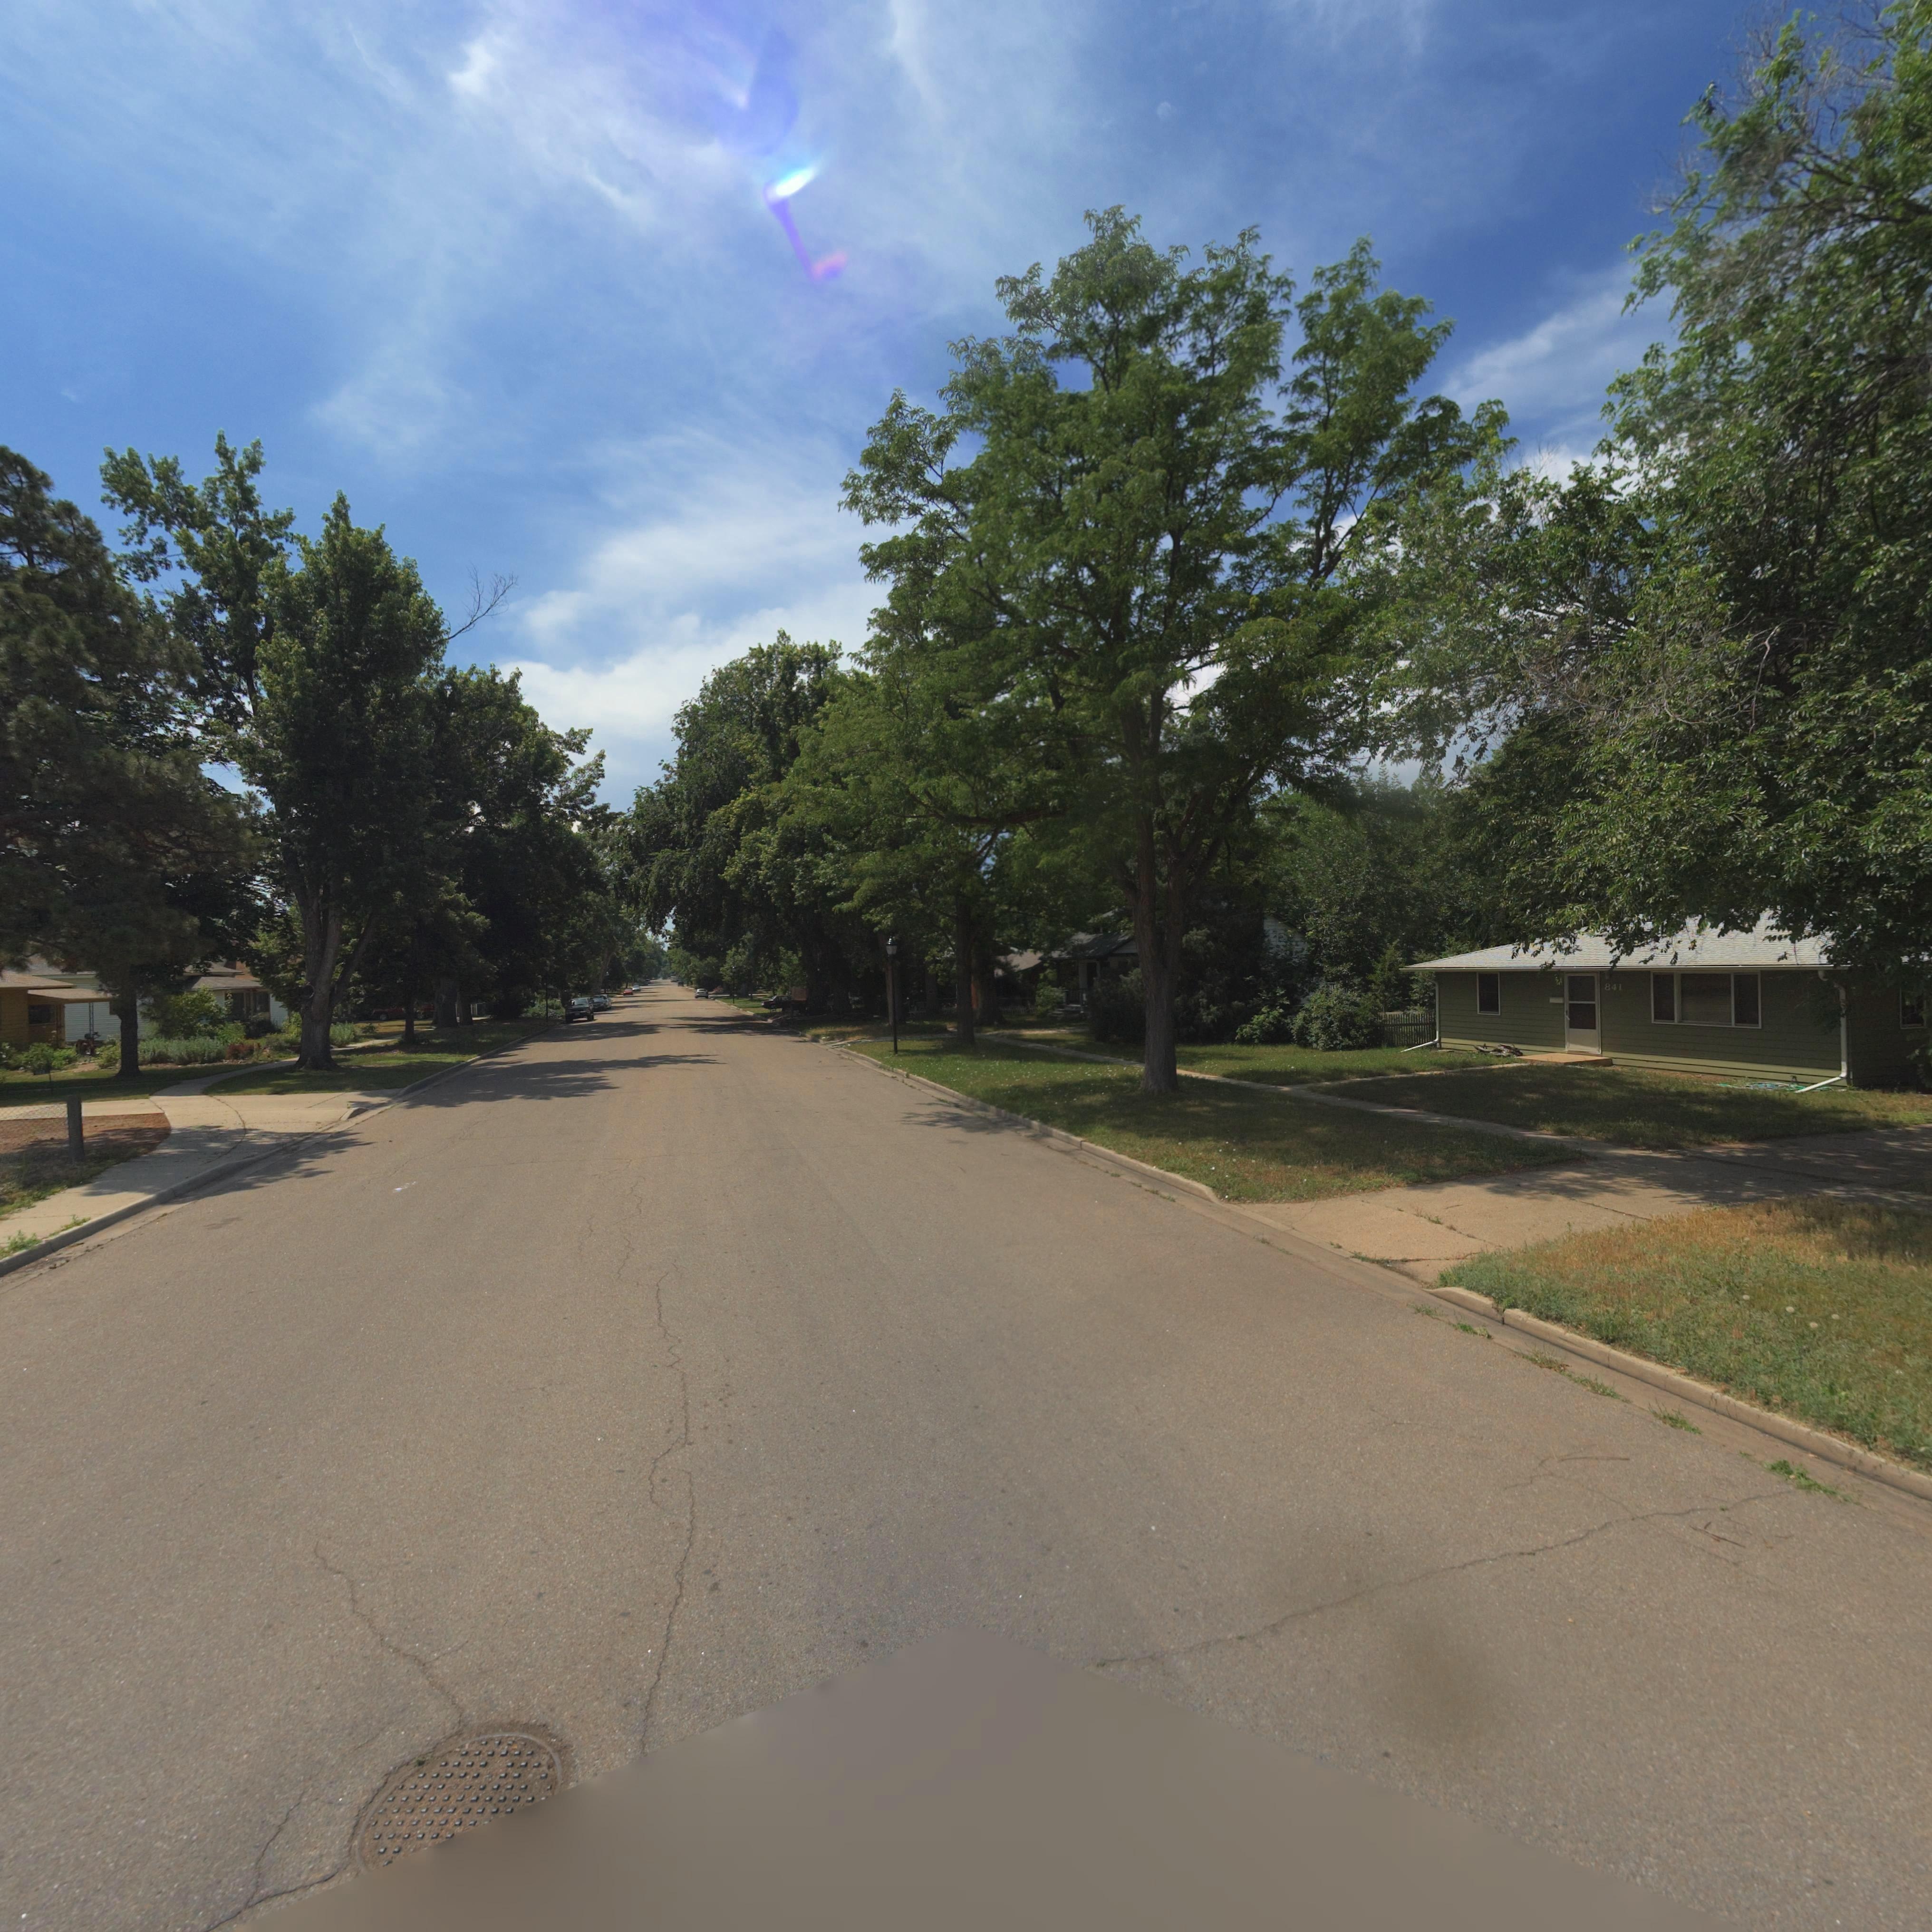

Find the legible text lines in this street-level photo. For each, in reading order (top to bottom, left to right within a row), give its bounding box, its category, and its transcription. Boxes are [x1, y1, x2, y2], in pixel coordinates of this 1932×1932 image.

[1604, 983, 1623, 991] StreetNumber: 841